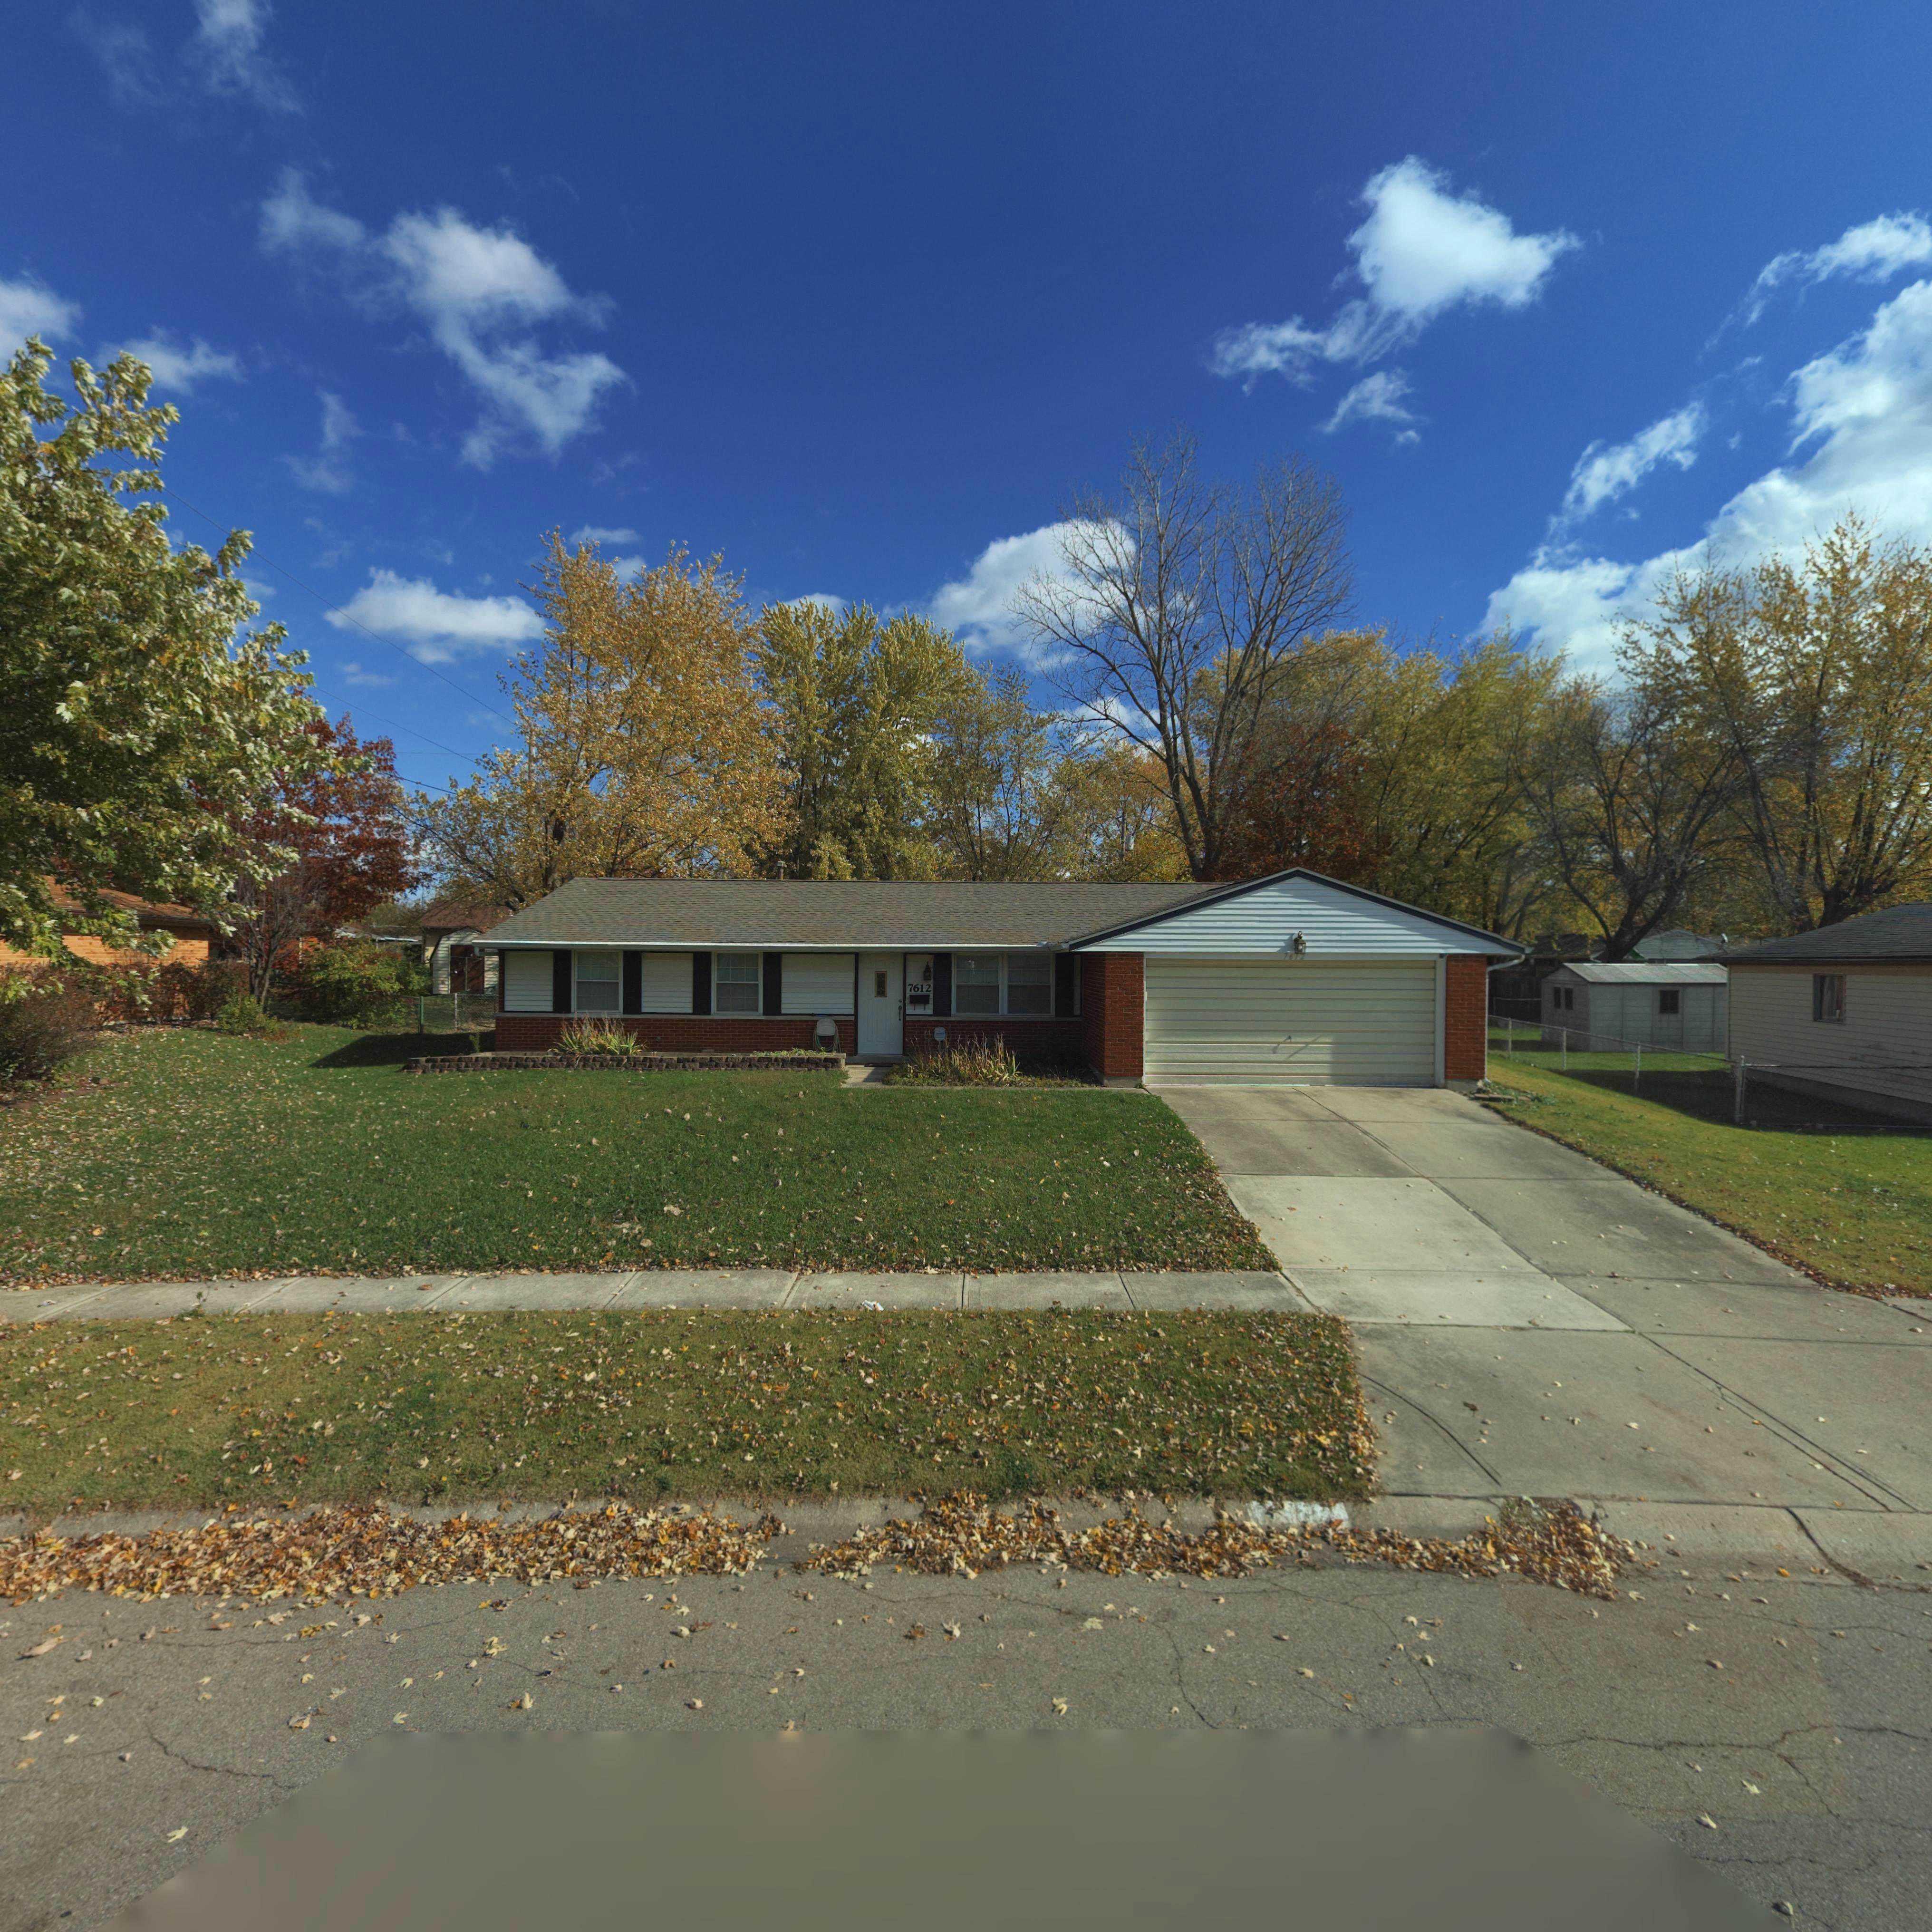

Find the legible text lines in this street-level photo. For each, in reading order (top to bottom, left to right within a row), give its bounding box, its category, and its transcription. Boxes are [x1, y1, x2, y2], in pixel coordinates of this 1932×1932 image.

[1282, 951, 1307, 962] StreetNumber: 7612
[907, 982, 933, 994] StreetNumber: 7612